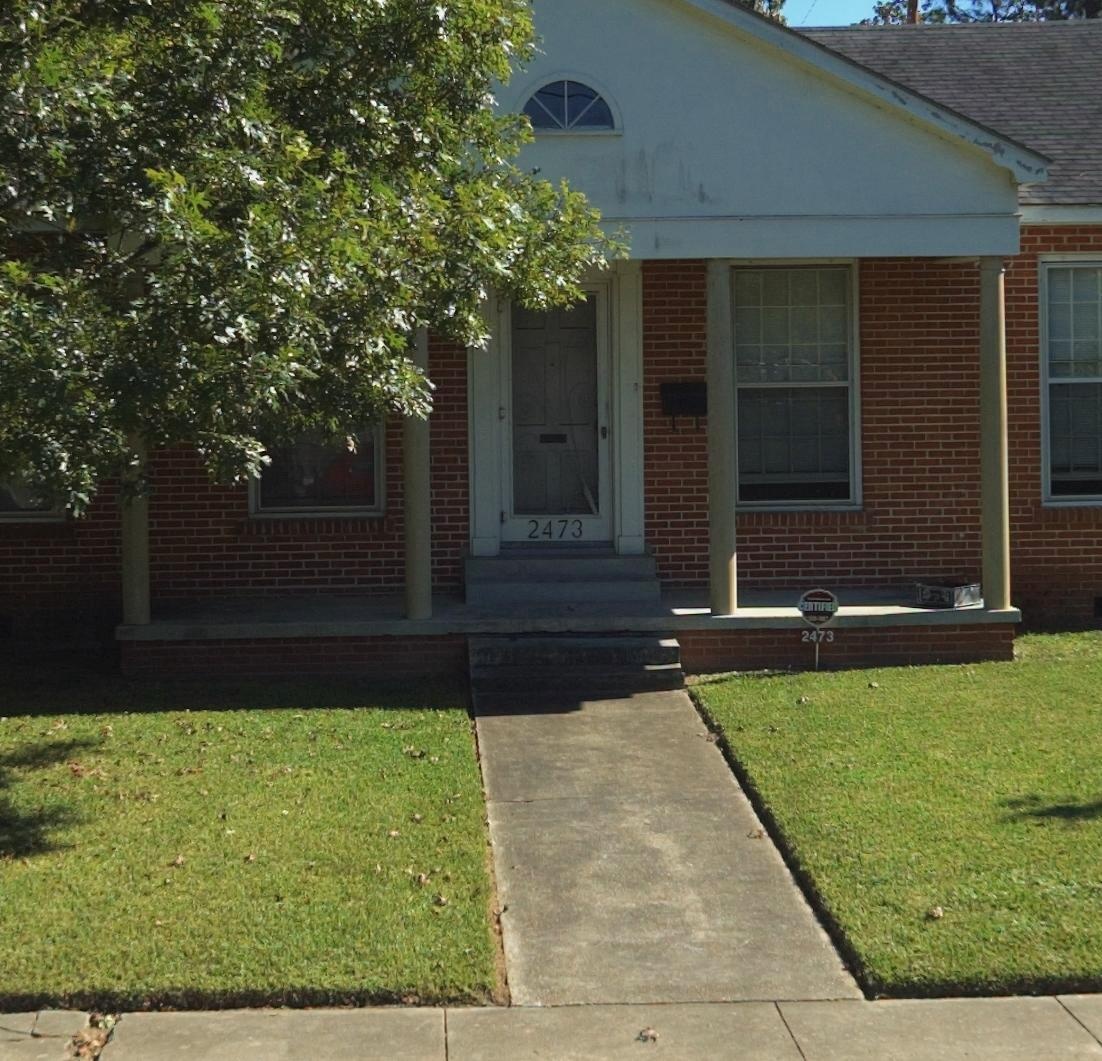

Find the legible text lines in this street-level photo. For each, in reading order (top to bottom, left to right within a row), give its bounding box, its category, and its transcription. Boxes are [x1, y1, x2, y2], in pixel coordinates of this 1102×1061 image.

[526, 517, 584, 541] StreetNumber: 2473
[799, 628, 836, 644] StreetNumber: 2473